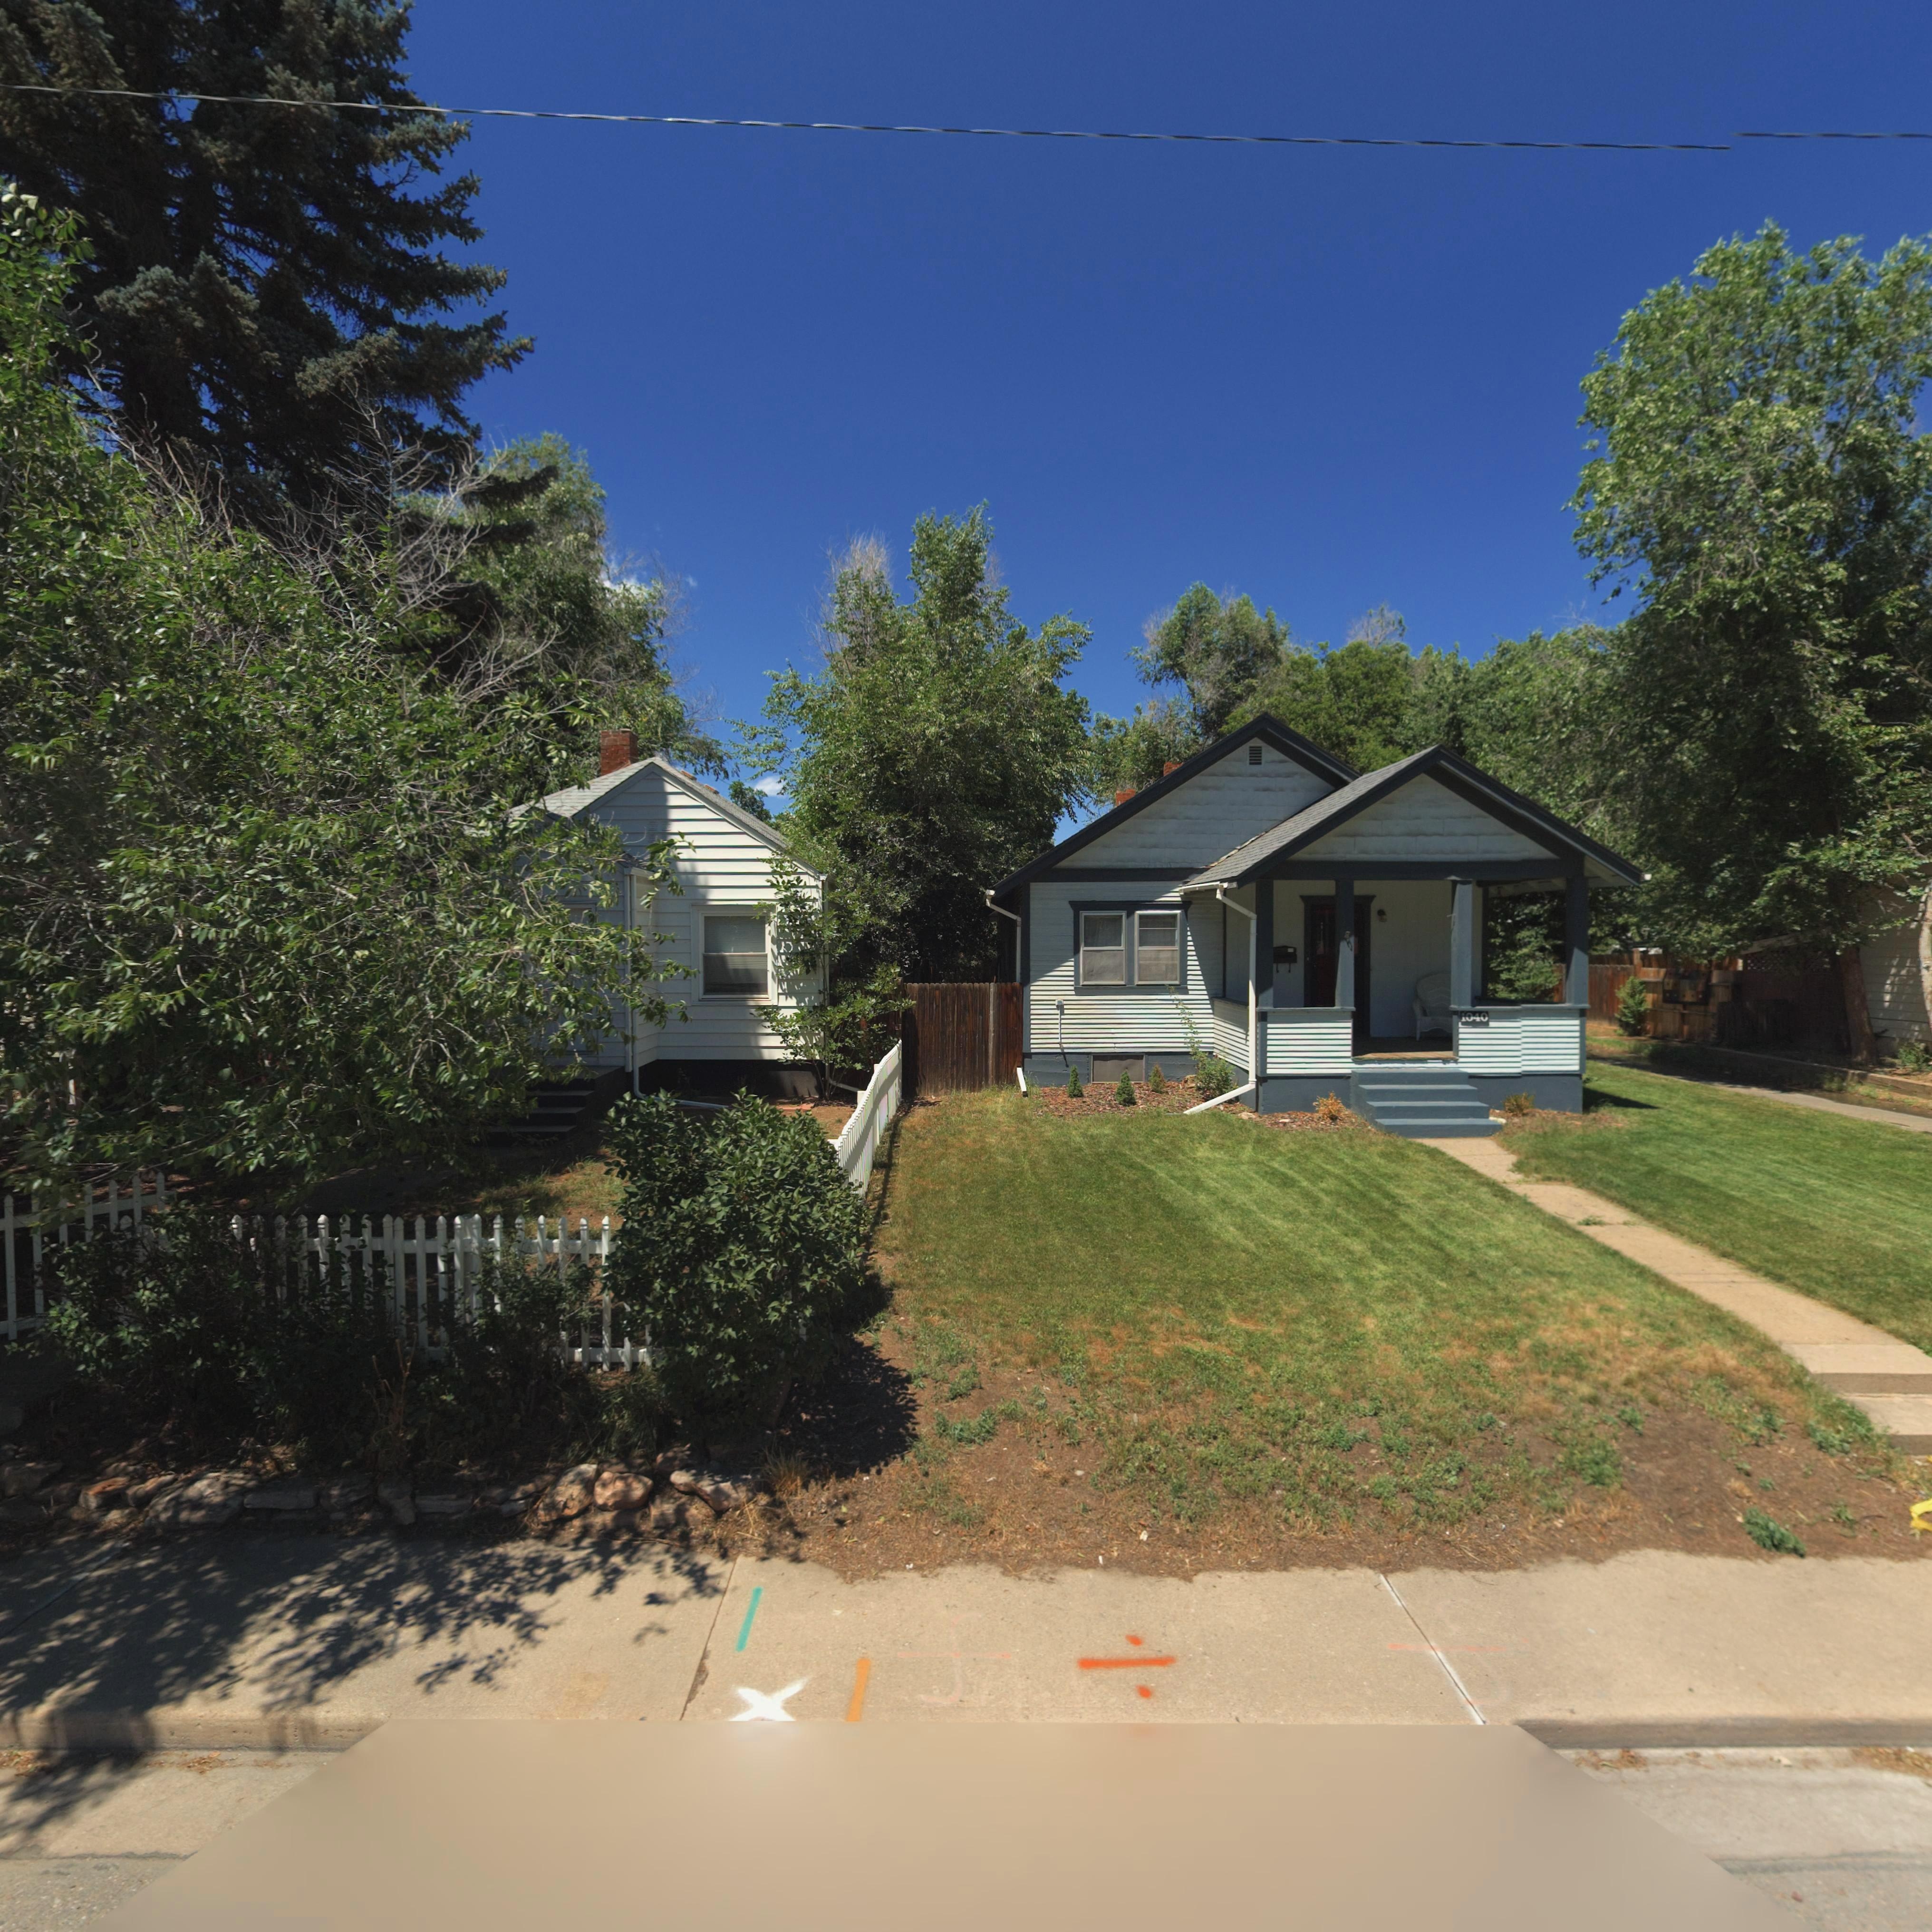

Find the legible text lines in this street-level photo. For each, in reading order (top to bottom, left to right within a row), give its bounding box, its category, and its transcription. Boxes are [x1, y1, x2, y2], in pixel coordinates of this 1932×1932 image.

[1460, 1012, 1488, 1022] StreetNumber: 1040